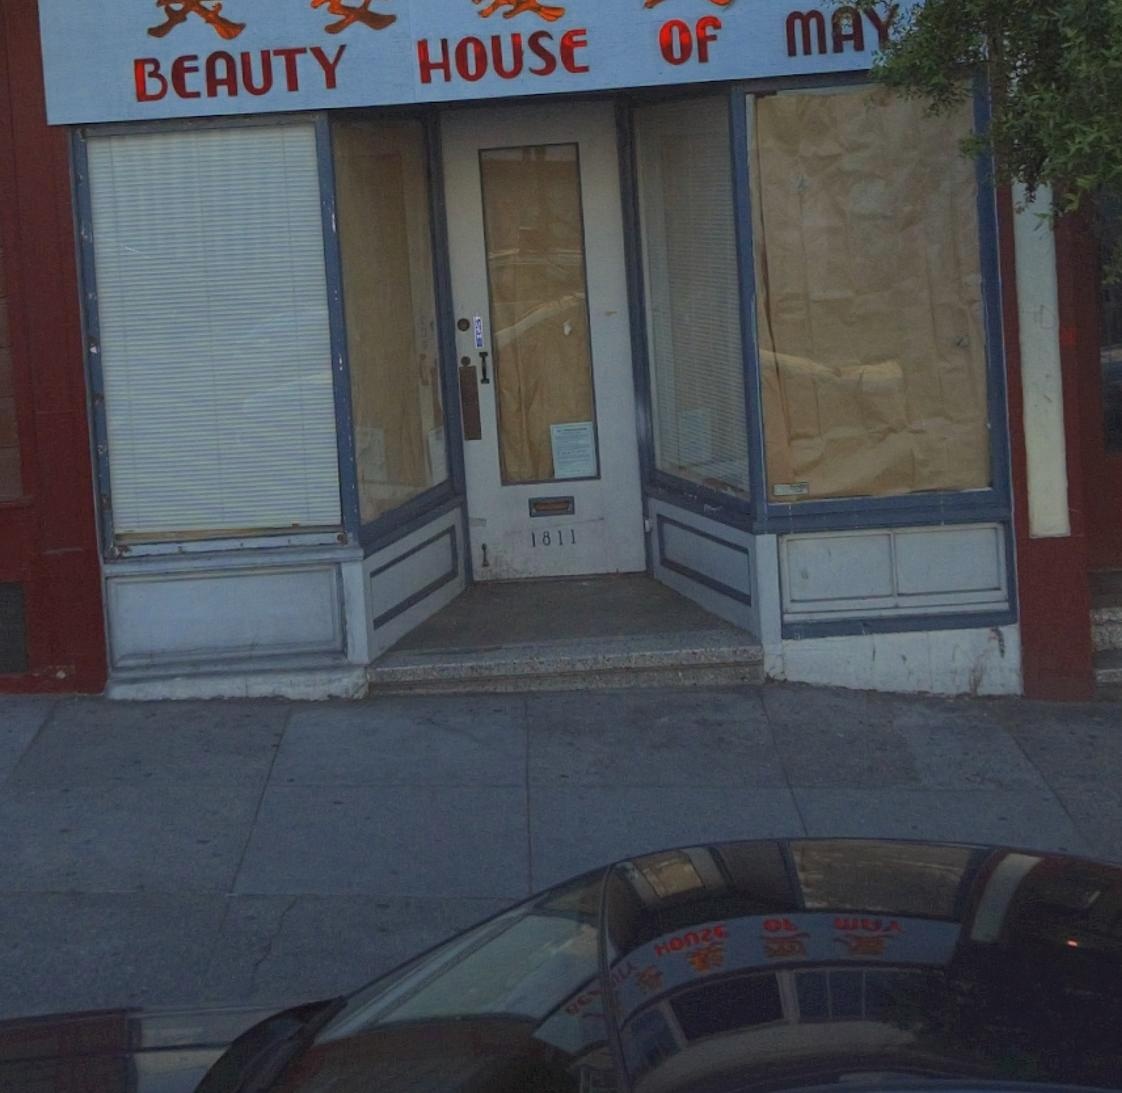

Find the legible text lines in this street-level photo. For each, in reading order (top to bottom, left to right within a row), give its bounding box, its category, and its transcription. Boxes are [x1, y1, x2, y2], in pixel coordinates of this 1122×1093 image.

[129, 0, 899, 107] BusinessName: BEAUTY HOUSE OF MAY
[528, 526, 579, 550] StreetNumber: 1811